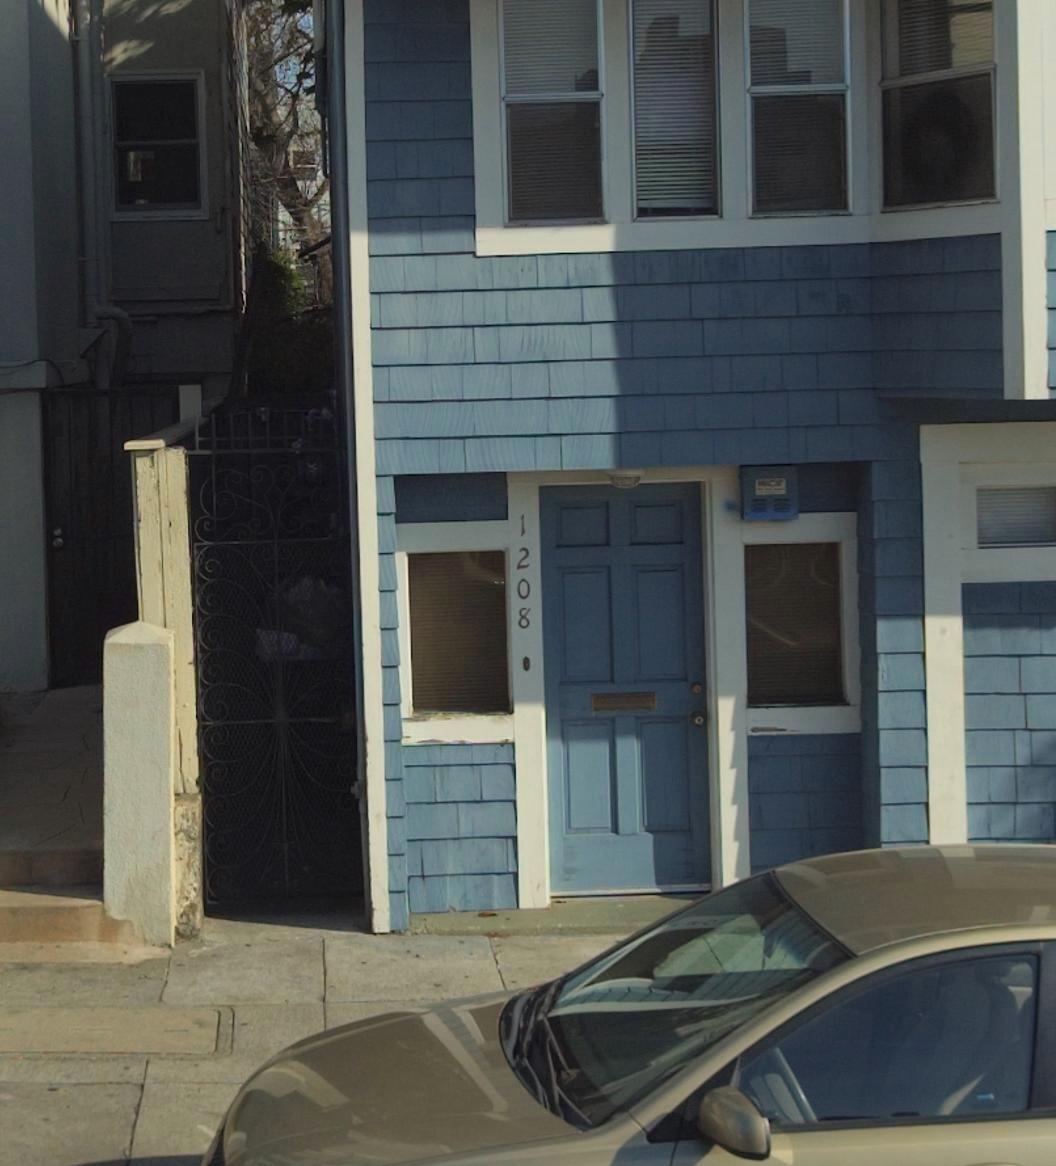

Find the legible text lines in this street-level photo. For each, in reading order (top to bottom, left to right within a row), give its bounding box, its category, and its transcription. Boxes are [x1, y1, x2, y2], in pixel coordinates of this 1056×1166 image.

[511, 508, 539, 635] StreetNumber: 1208